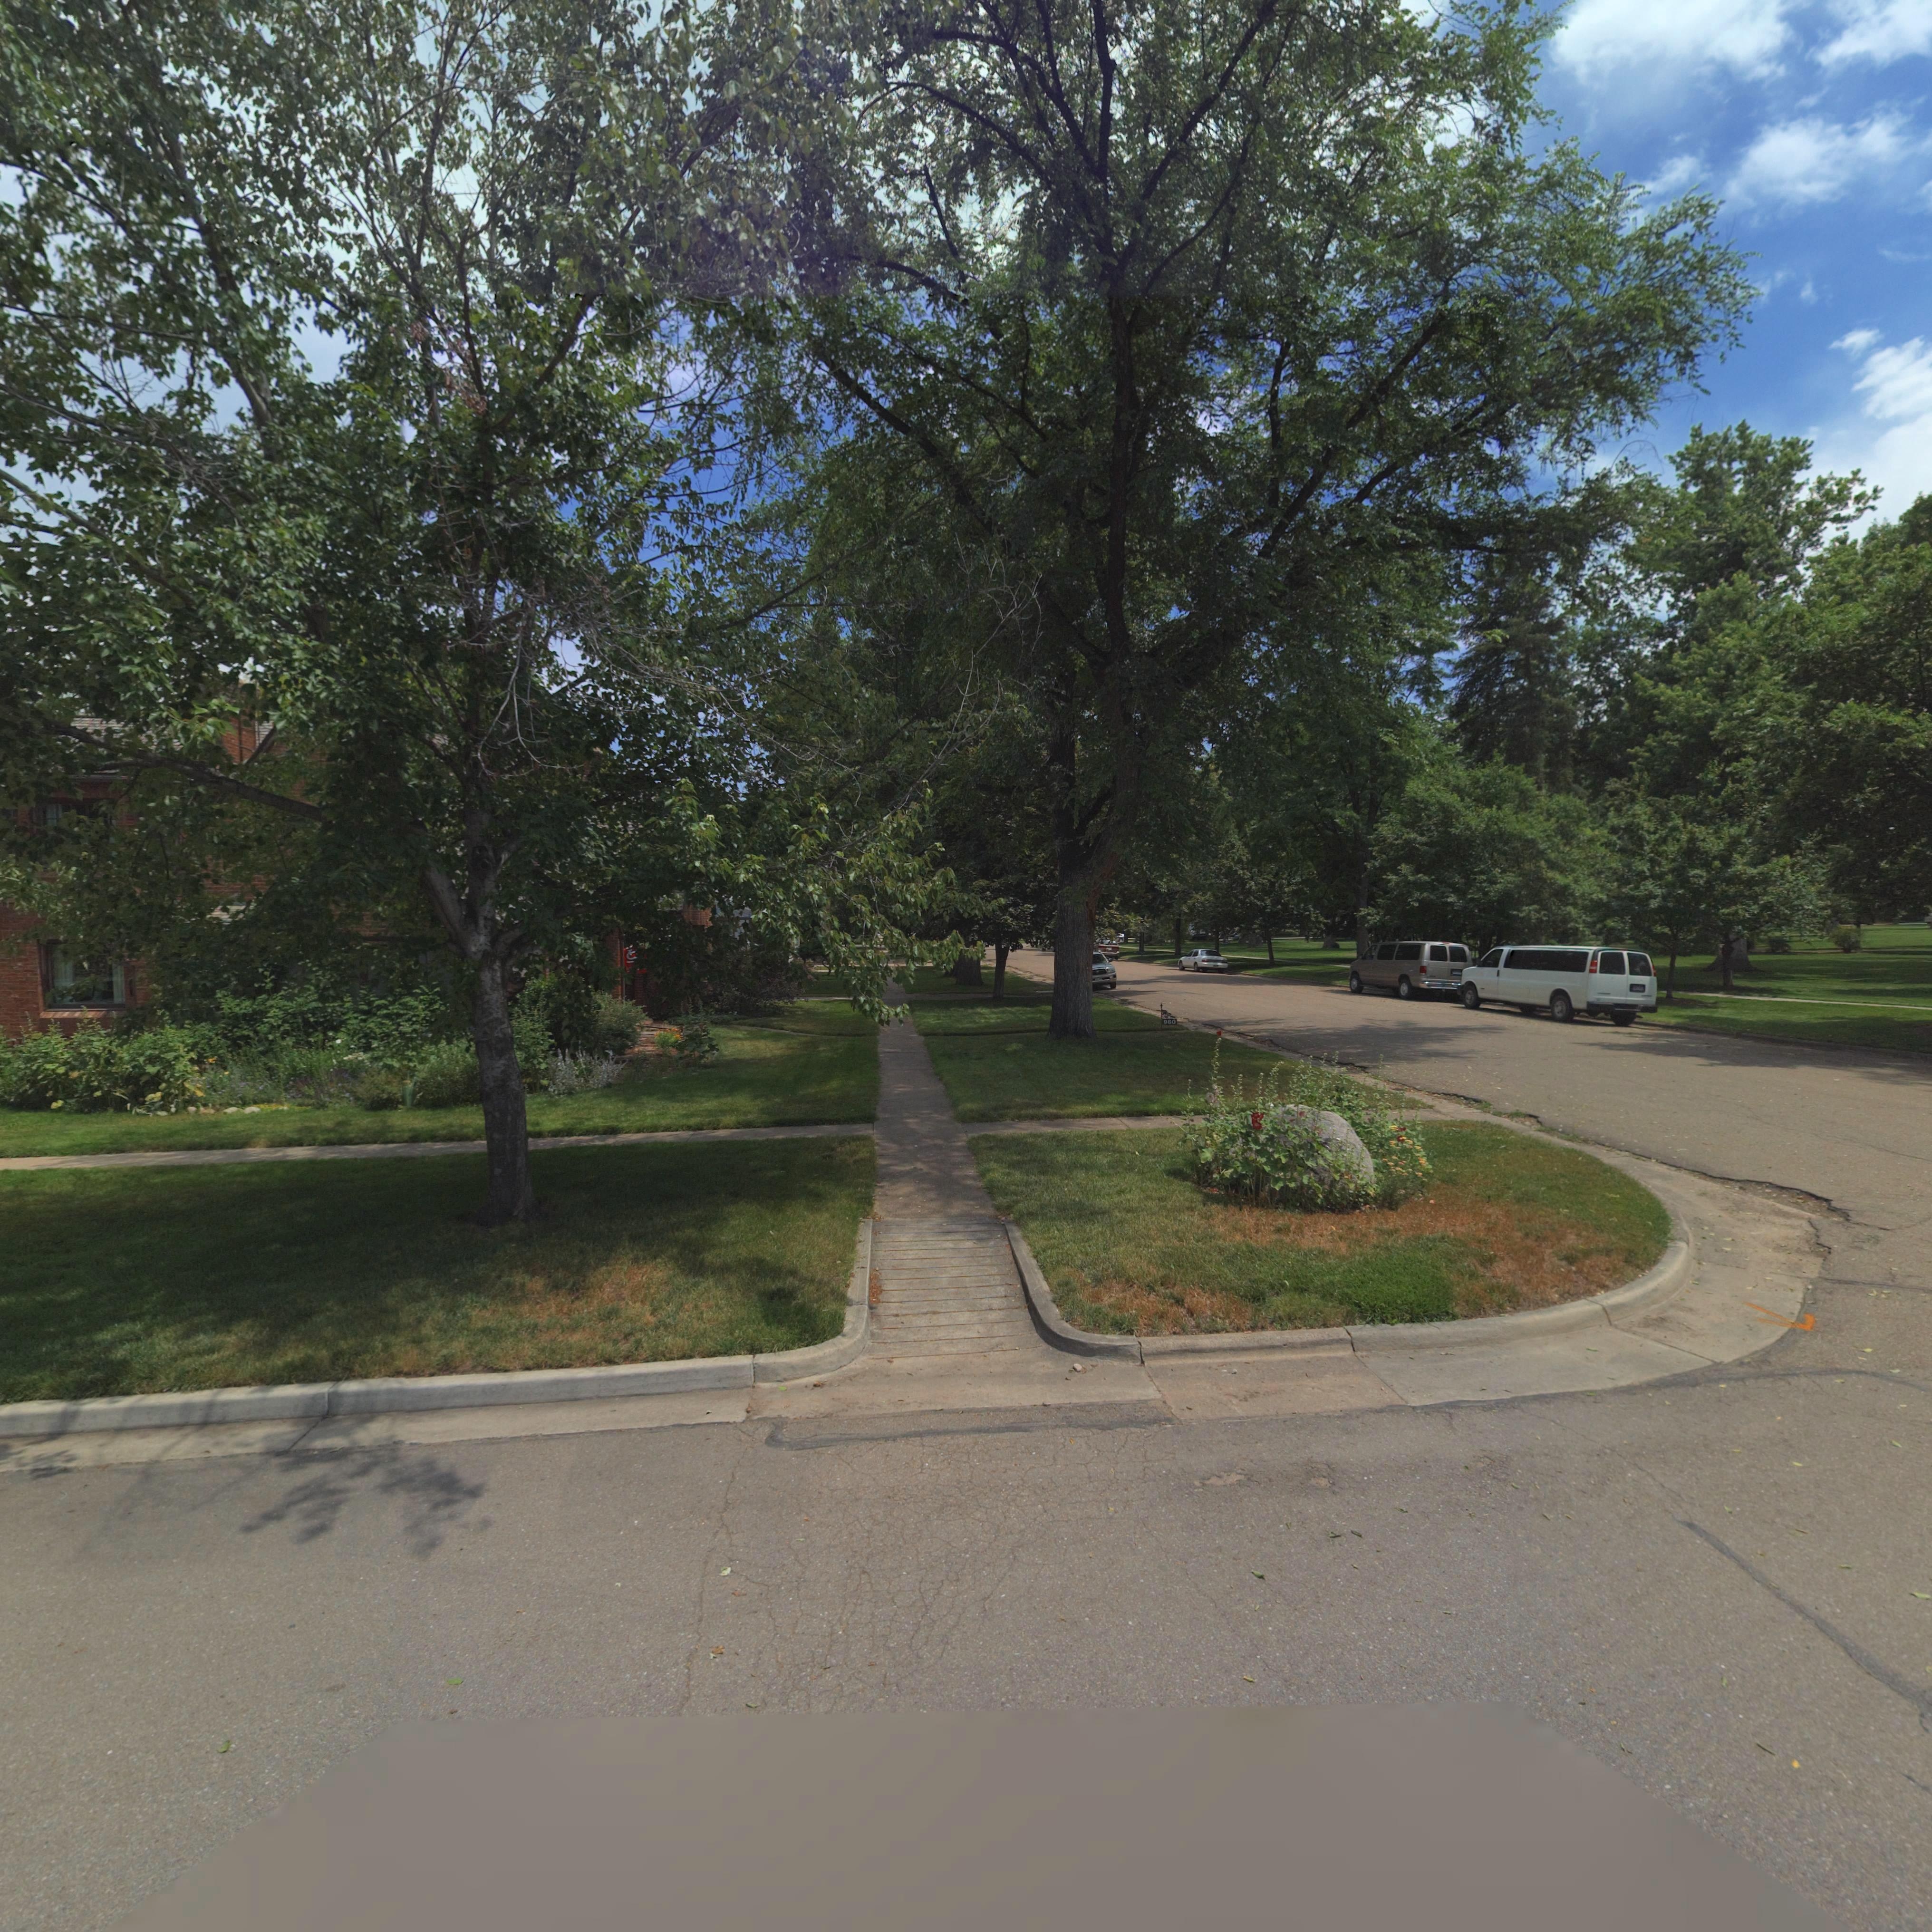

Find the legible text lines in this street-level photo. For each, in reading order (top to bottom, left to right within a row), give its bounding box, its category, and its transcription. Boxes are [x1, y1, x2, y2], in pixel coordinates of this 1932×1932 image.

[1163, 1019, 1176, 1024] StreetNumber: 960